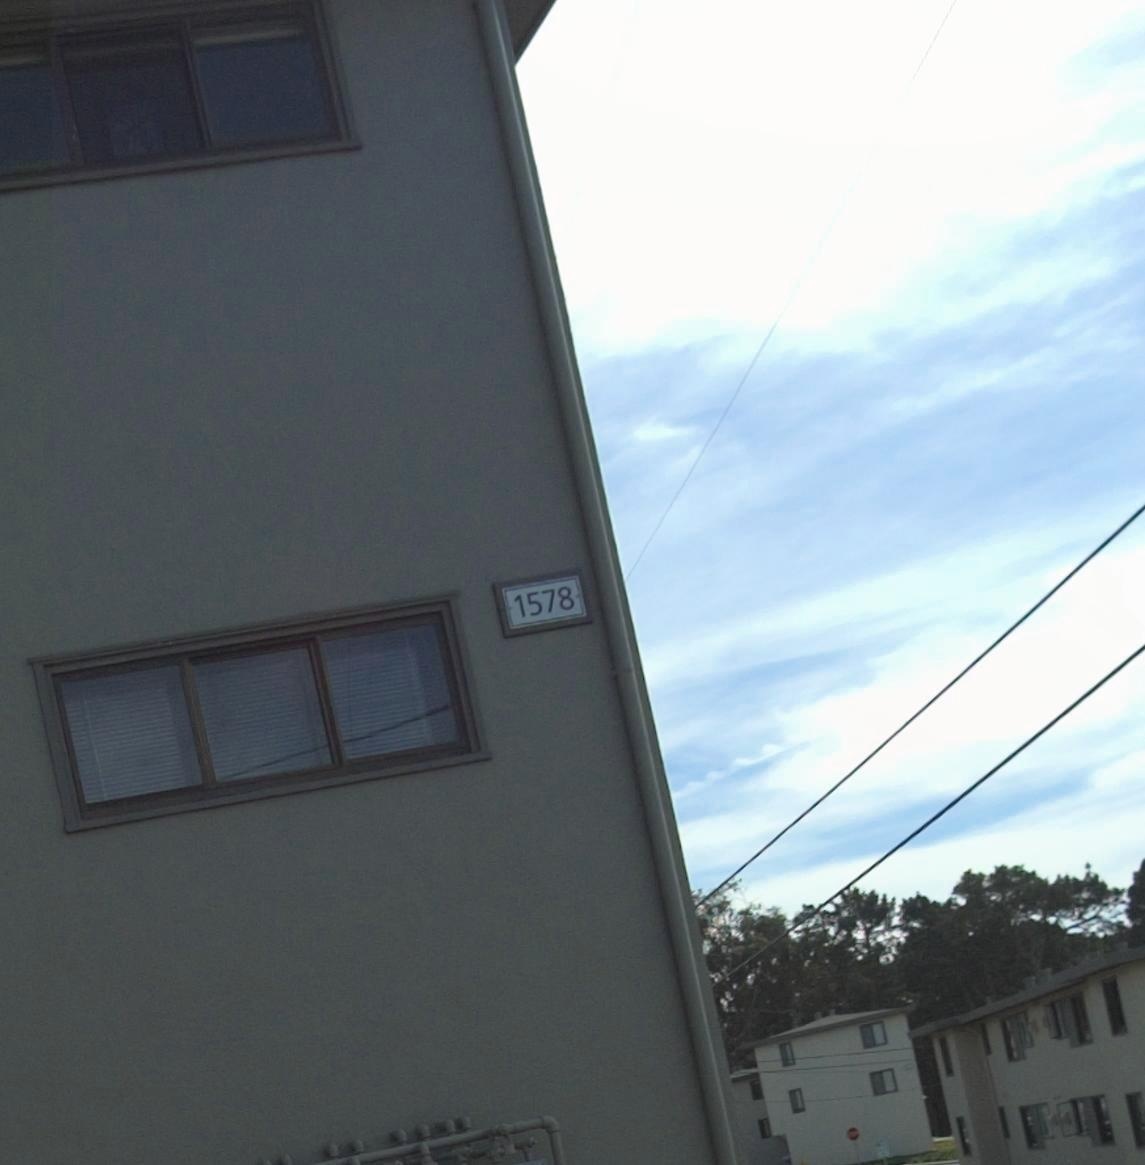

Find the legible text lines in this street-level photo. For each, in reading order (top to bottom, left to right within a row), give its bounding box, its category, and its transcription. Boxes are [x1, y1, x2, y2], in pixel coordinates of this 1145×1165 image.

[509, 582, 577, 620] StreetNumber: 1578